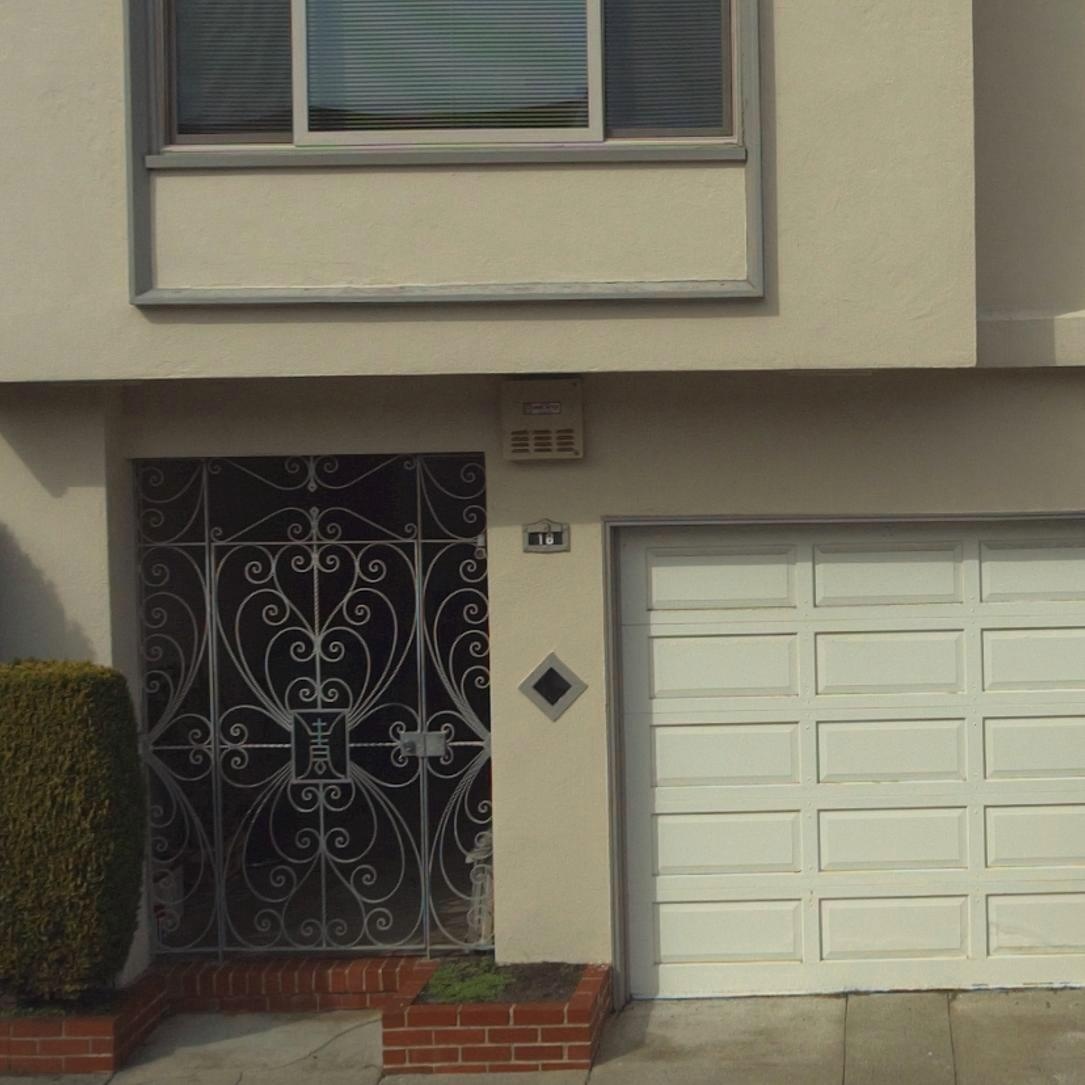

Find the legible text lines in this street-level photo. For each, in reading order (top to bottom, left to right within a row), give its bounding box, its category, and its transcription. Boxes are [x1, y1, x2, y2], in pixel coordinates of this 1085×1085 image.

[537, 531, 555, 546] StreetNumber: 18